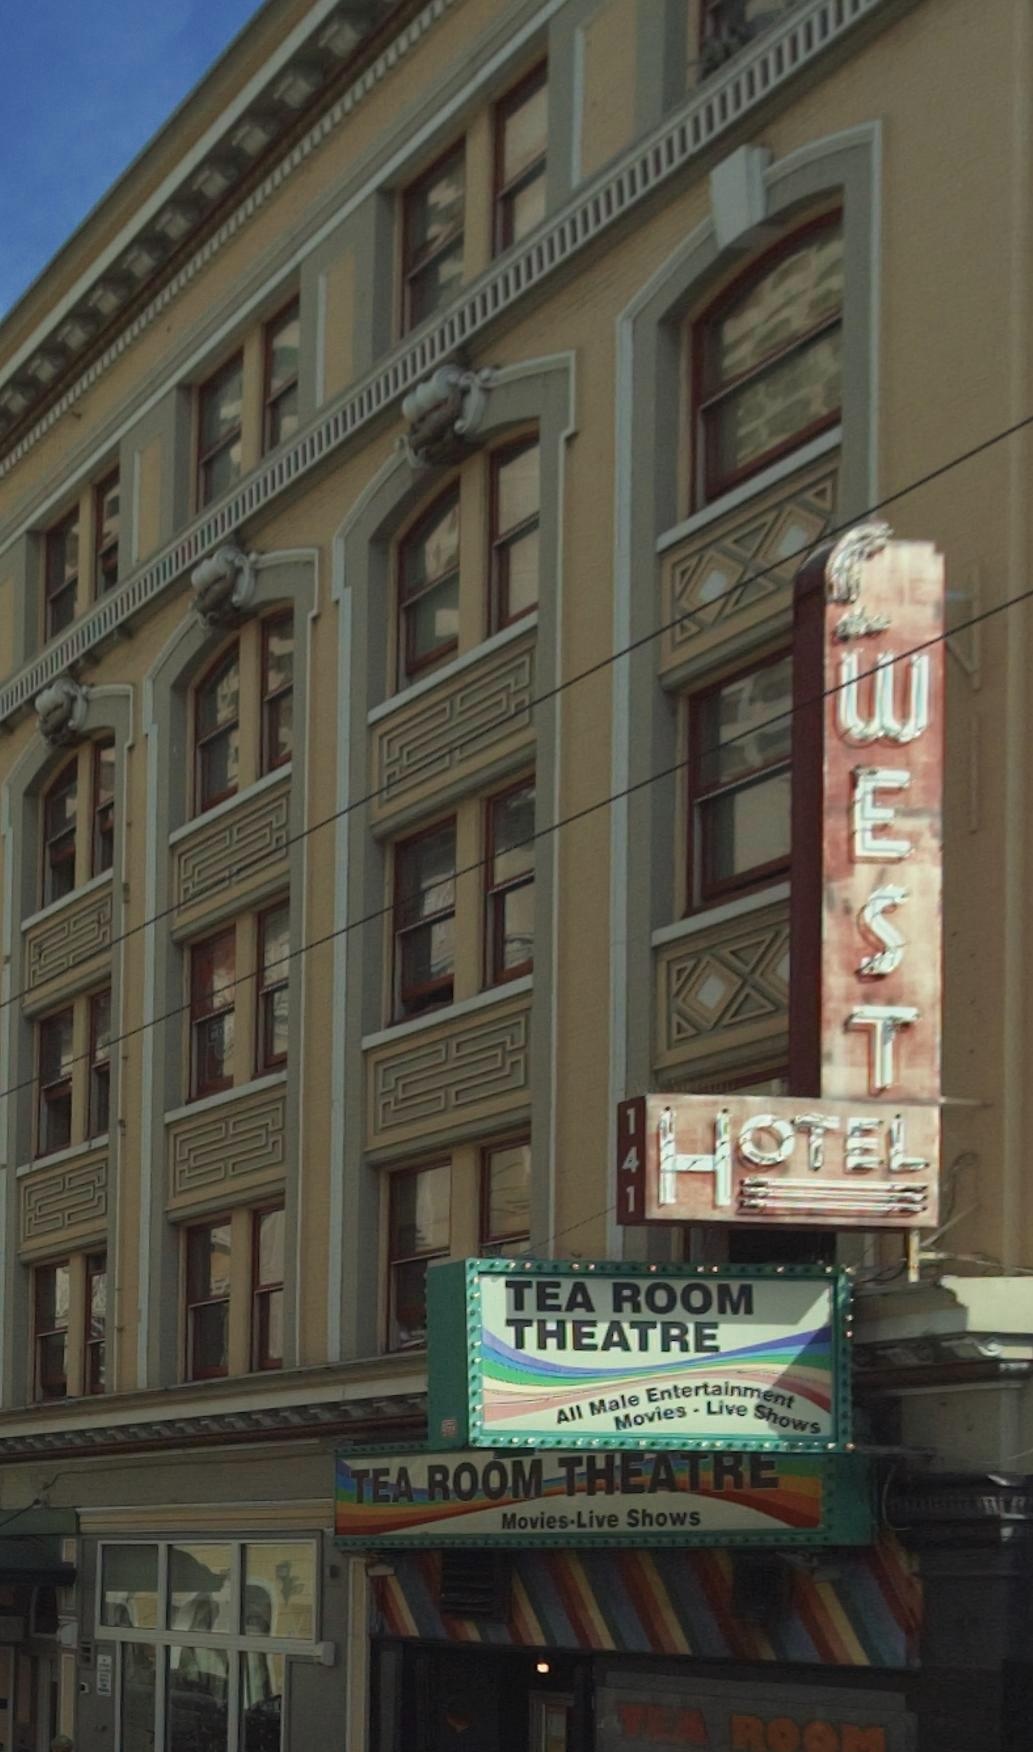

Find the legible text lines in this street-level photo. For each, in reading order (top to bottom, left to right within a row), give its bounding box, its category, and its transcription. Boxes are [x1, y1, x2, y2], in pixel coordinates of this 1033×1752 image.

[832, 643, 935, 1094] BusinessName: WEST
[618, 1103, 644, 1217] StreetNumber: 141
[654, 1105, 935, 1210] BusinessName: HOTEL
[499, 1278, 757, 1319] BusinessName: TEA ROOM
[502, 1316, 722, 1355] BusinessName: THEATRE
[554, 1378, 797, 1428] None: All Male Entertainment
[610, 1397, 825, 1438] None: Movies * Live Shows
[345, 1450, 684, 1506] BusinessName: TEA ROOM THEA
[499, 1505, 705, 1533] None: Movies * Live Shows
[613, 1697, 718, 1750] BusinessName: TEA